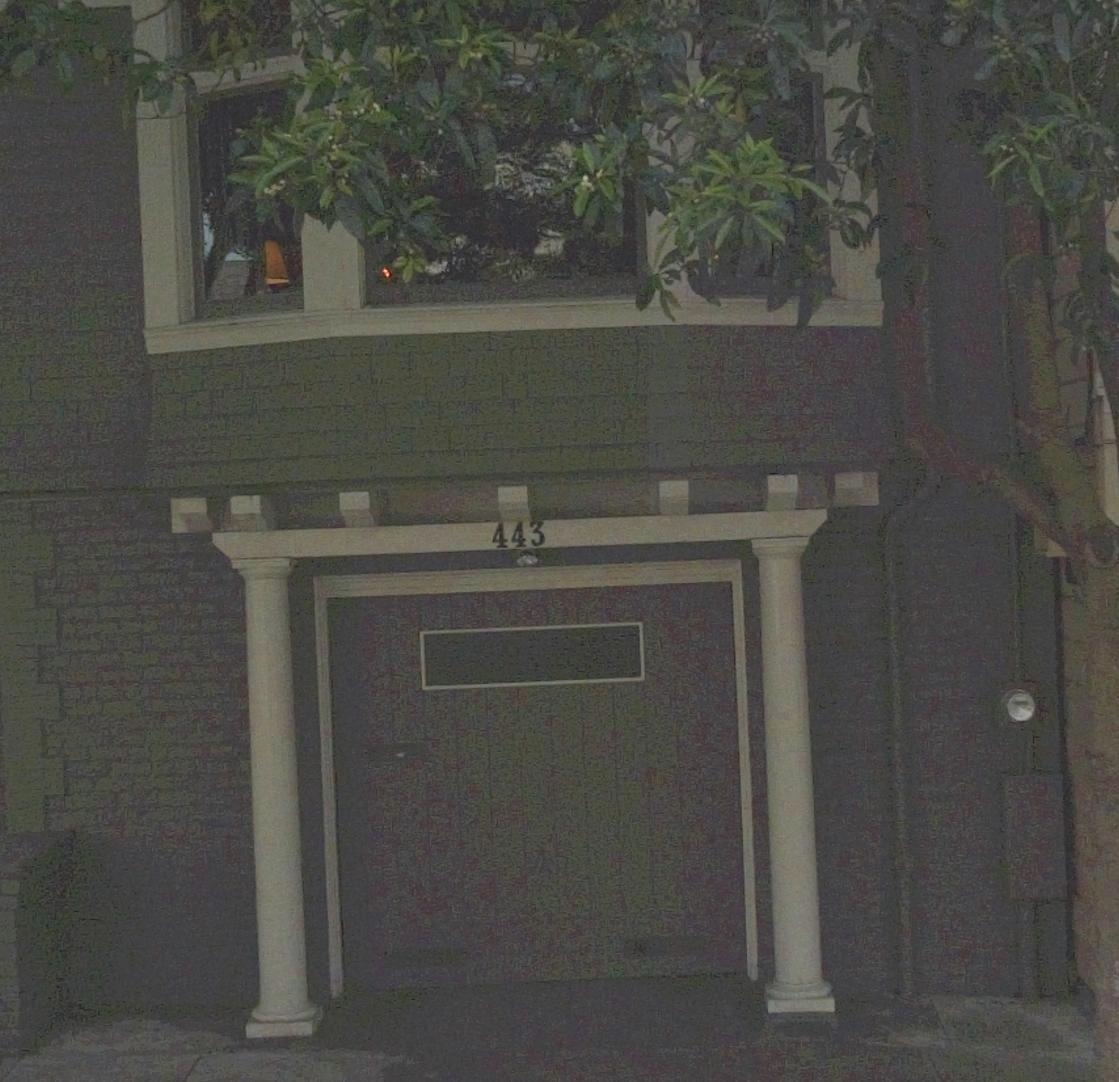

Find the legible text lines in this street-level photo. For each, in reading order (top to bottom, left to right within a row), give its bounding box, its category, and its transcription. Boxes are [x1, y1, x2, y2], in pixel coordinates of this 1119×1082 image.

[492, 520, 547, 549] StreetNumber: 443